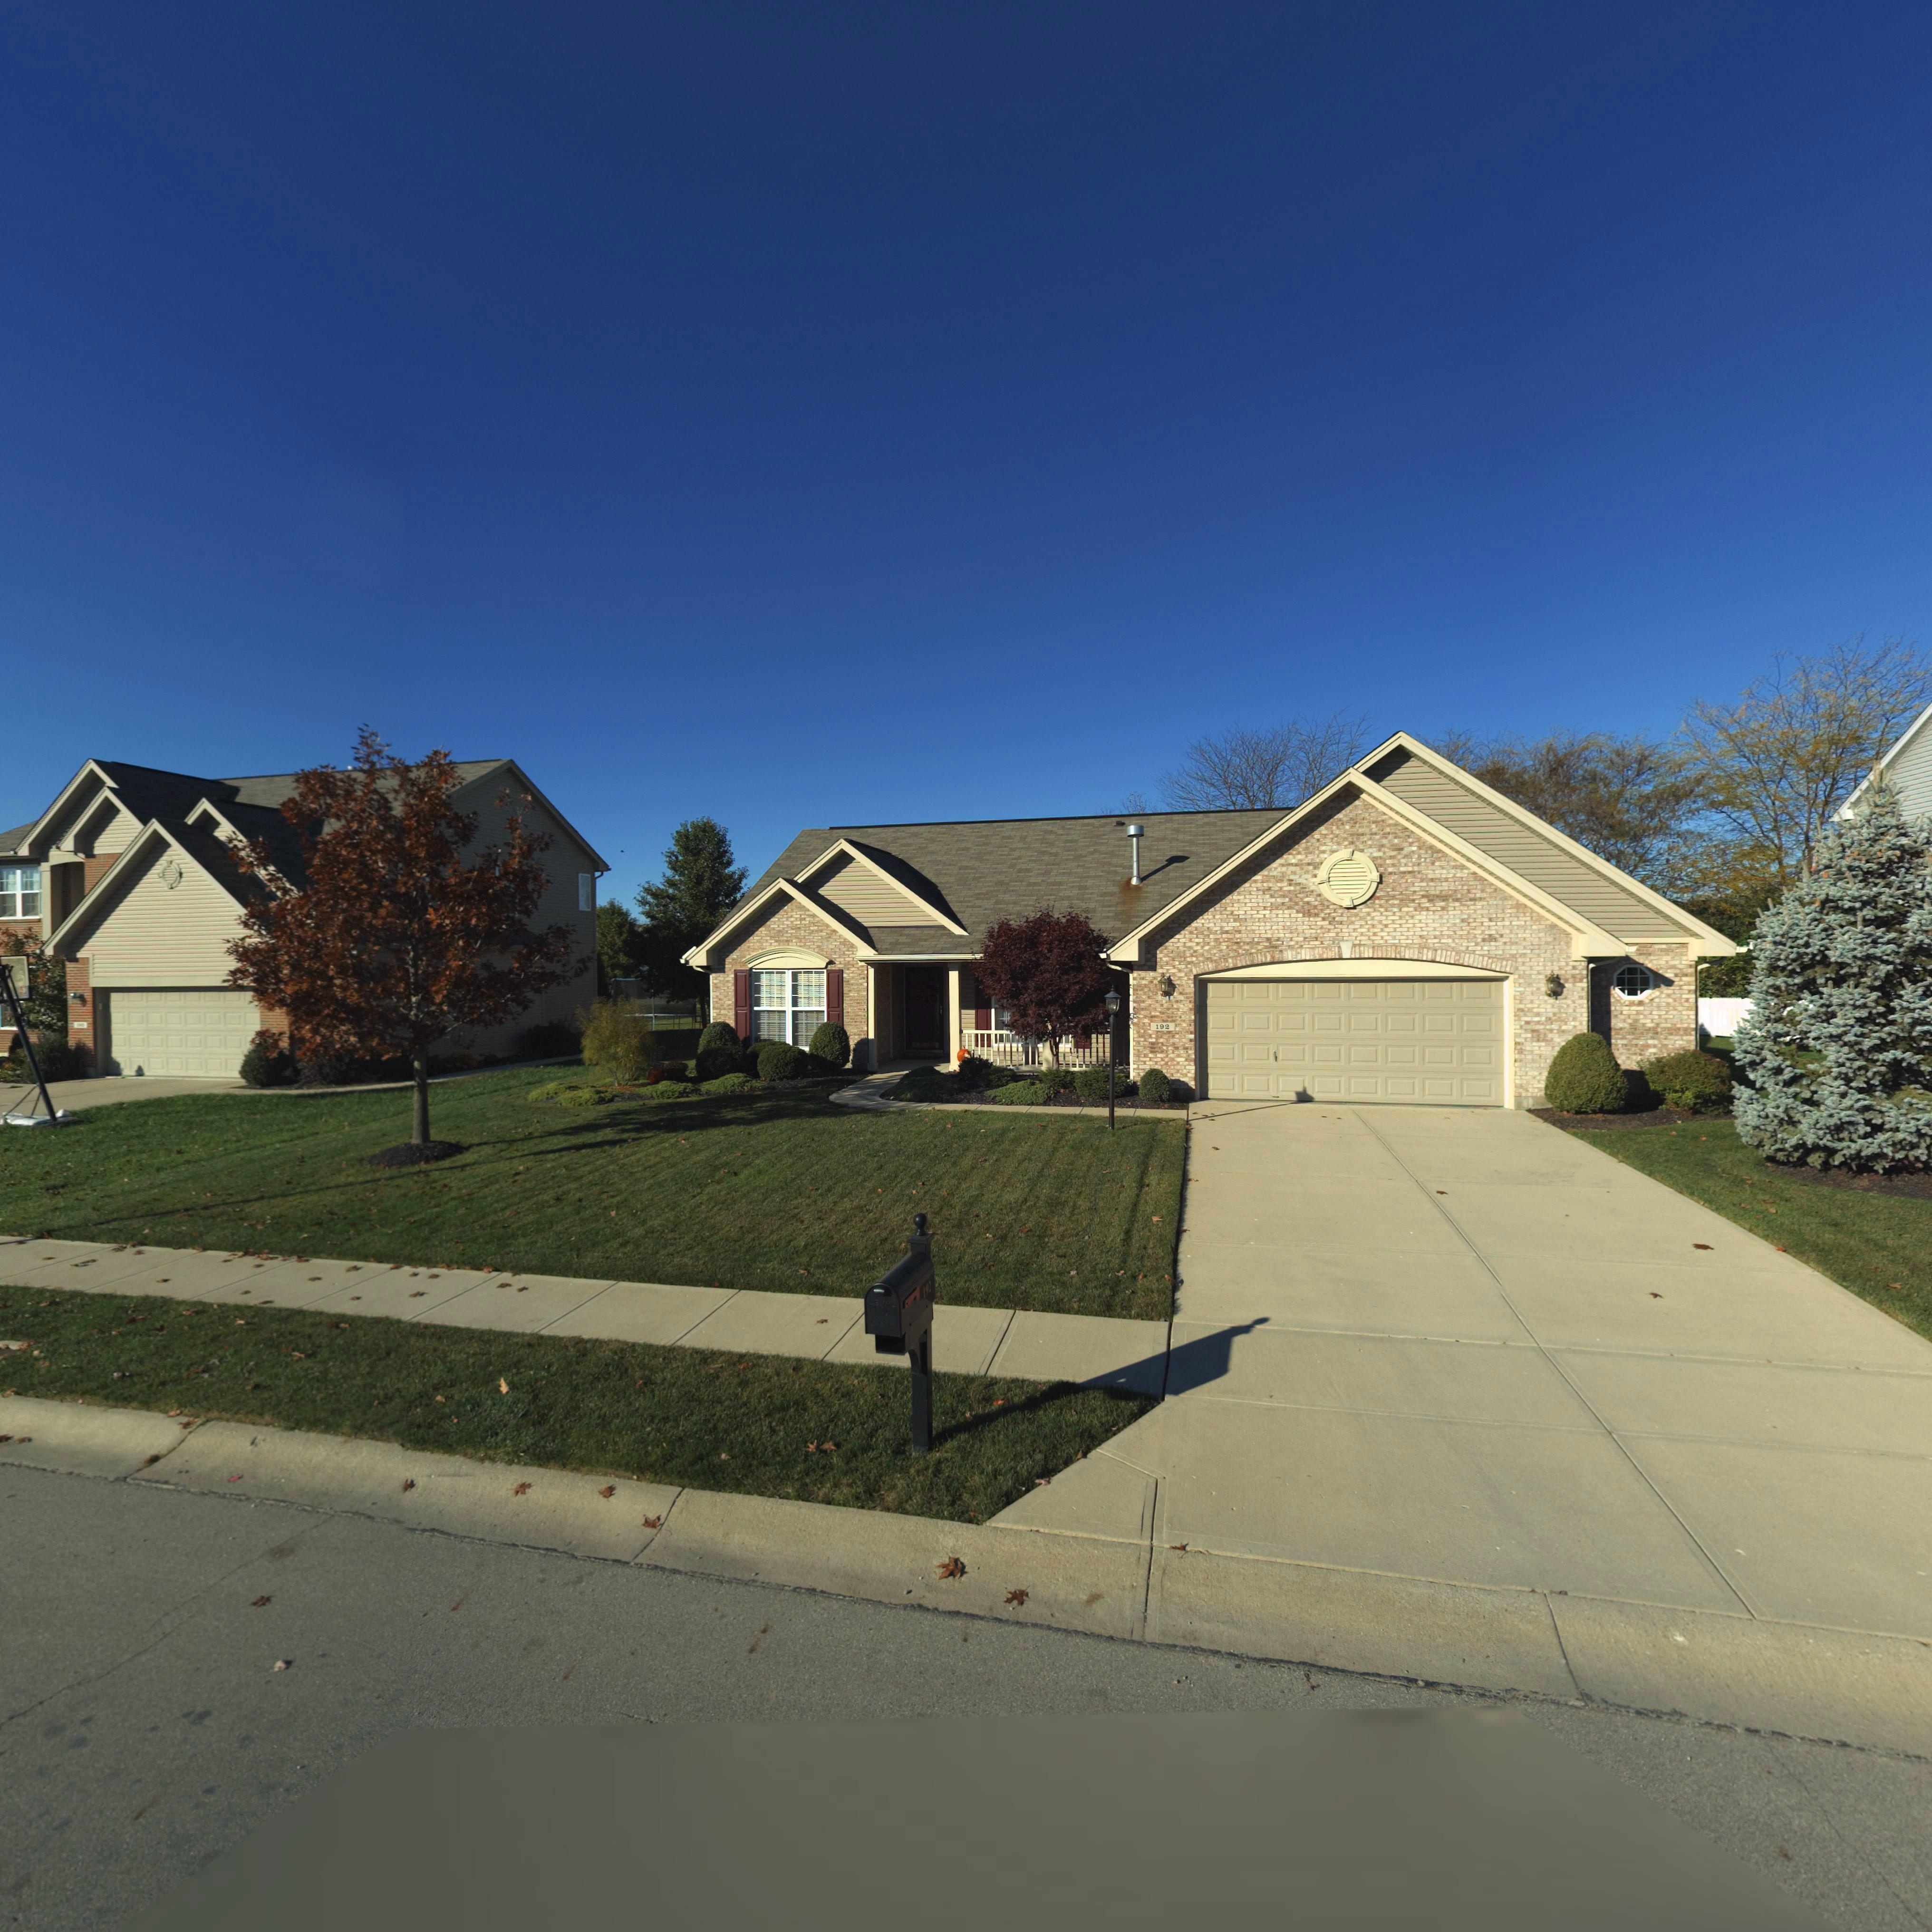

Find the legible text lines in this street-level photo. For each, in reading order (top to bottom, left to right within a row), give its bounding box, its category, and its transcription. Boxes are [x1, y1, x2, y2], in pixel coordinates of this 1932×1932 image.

[1155, 1024, 1170, 1030] StreetNumber: 192
[923, 1278, 932, 1300] StreetNumber: 192